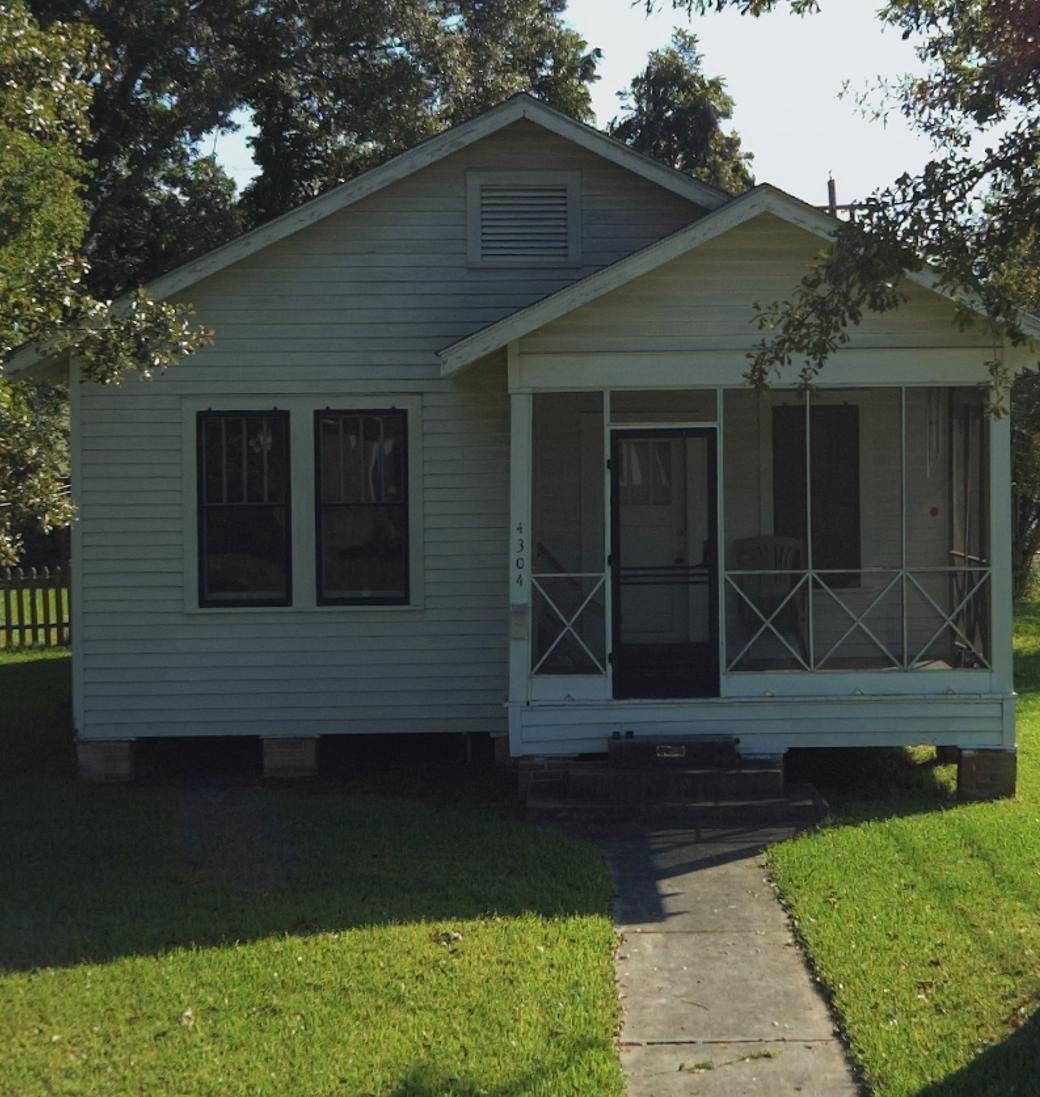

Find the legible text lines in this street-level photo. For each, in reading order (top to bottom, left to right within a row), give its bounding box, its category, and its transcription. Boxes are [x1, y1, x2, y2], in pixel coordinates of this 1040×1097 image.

[515, 520, 525, 588] StreetNumber: 4304